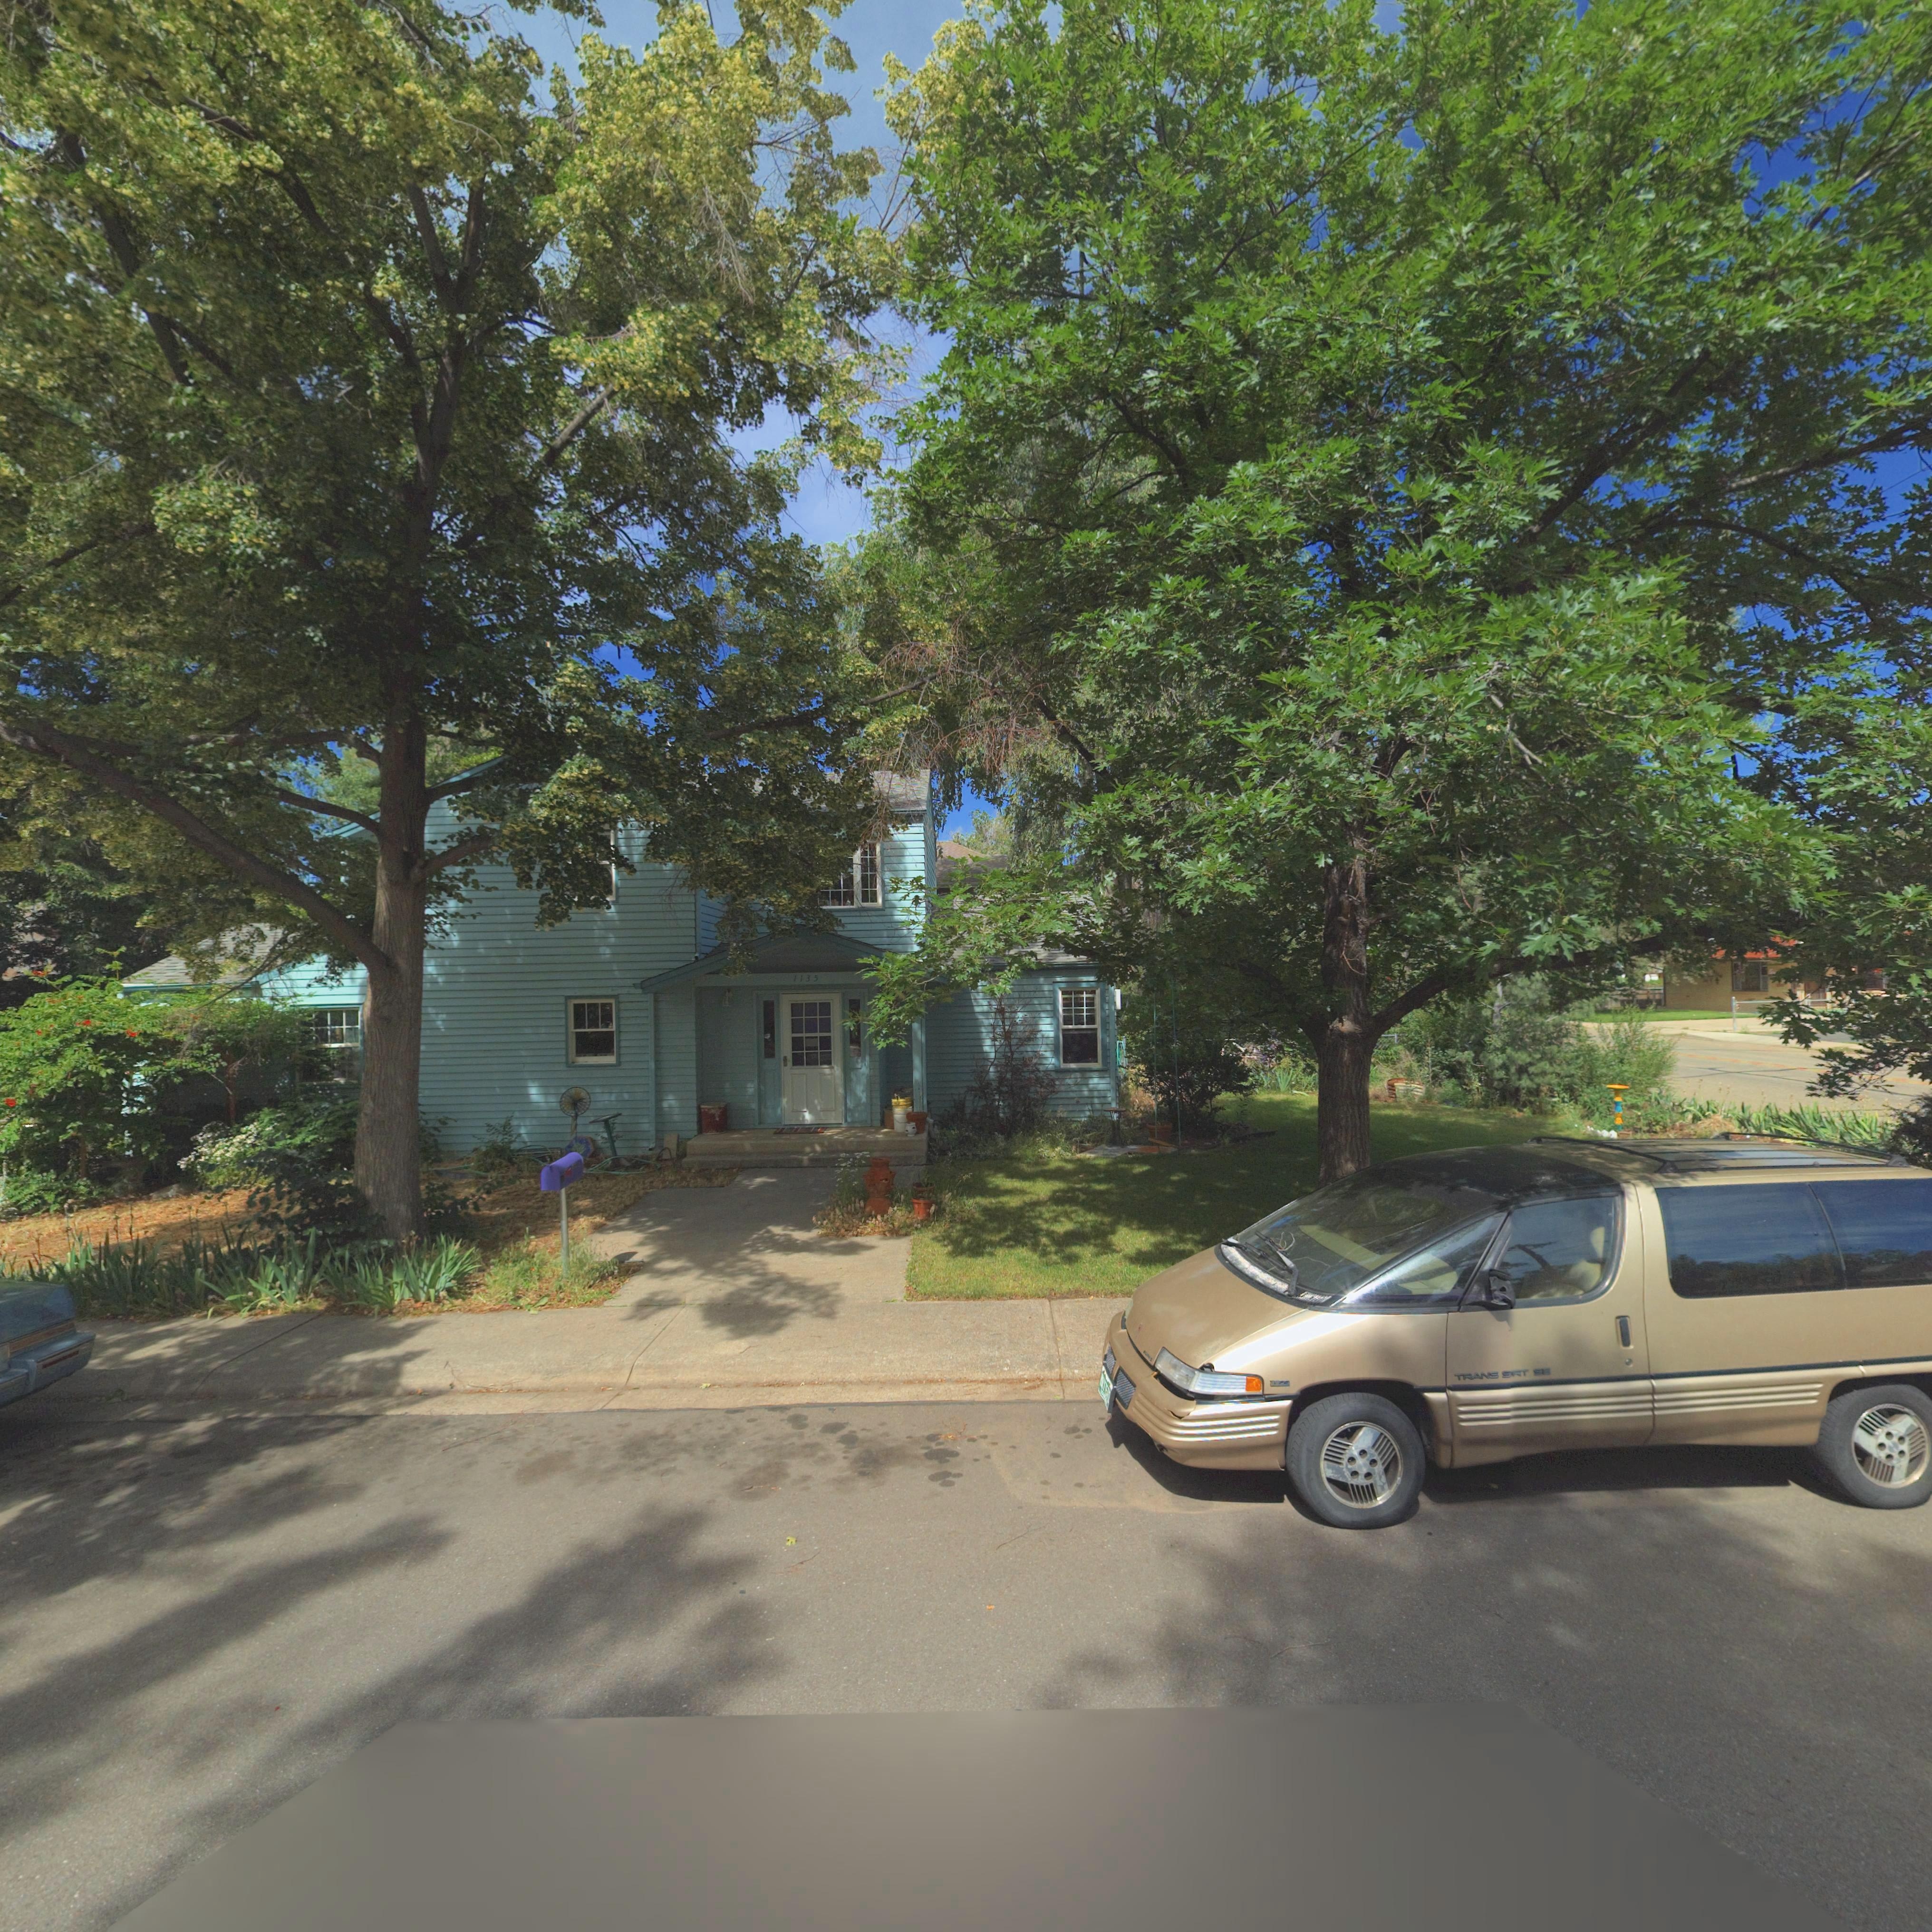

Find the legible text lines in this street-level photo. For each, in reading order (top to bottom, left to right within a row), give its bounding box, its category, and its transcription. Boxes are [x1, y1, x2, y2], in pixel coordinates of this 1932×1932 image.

[792, 974, 818, 983] StreetNumber: 1135